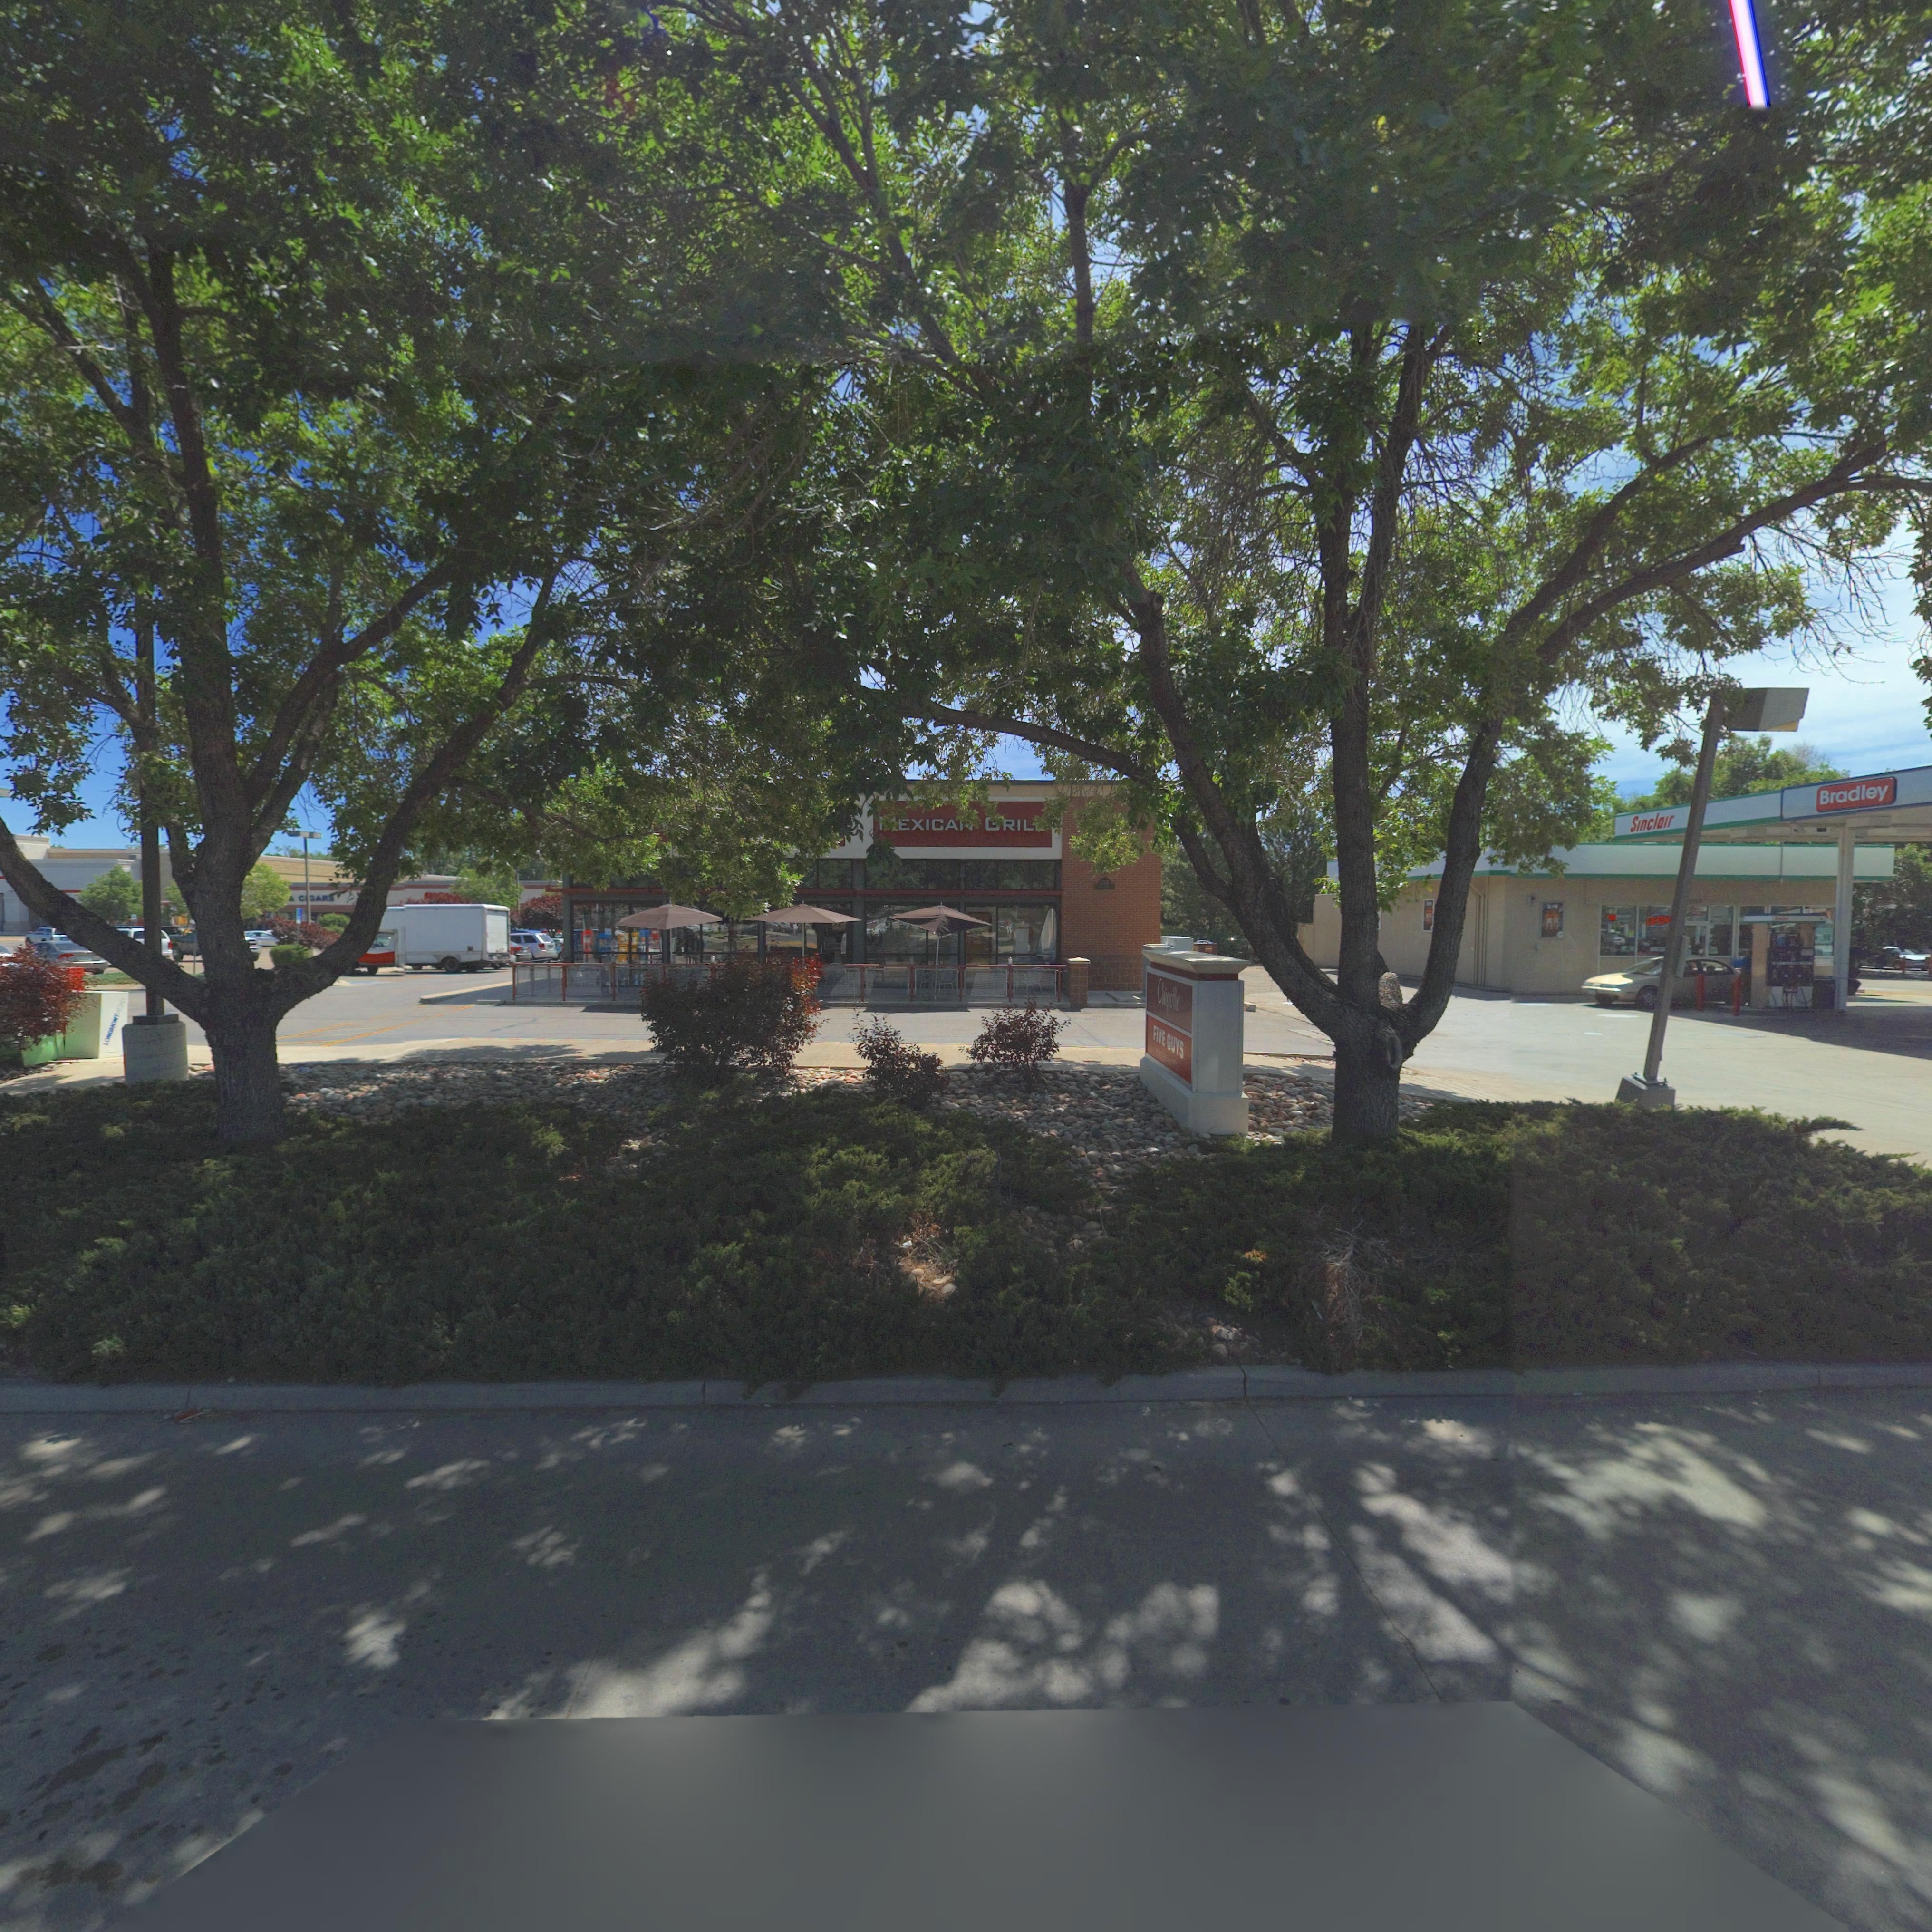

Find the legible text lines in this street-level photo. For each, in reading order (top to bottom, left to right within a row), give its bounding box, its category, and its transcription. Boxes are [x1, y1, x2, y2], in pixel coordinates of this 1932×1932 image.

[1819, 784, 1890, 805] BusinessName: Bradley
[879, 815, 1046, 831] BusinessName: *EXICA* *RIL*
[1630, 812, 1675, 832] BusinessName: SInclaIr
[1100, 879, 1109, 885] StreetNumber: 1708
[1688, 898, 1703, 905] StreetNumber: 1***
[1157, 977, 1180, 1016] BusinessName: Chipotle
[1153, 1024, 1184, 1059] BusinessName: FIVE GUYS